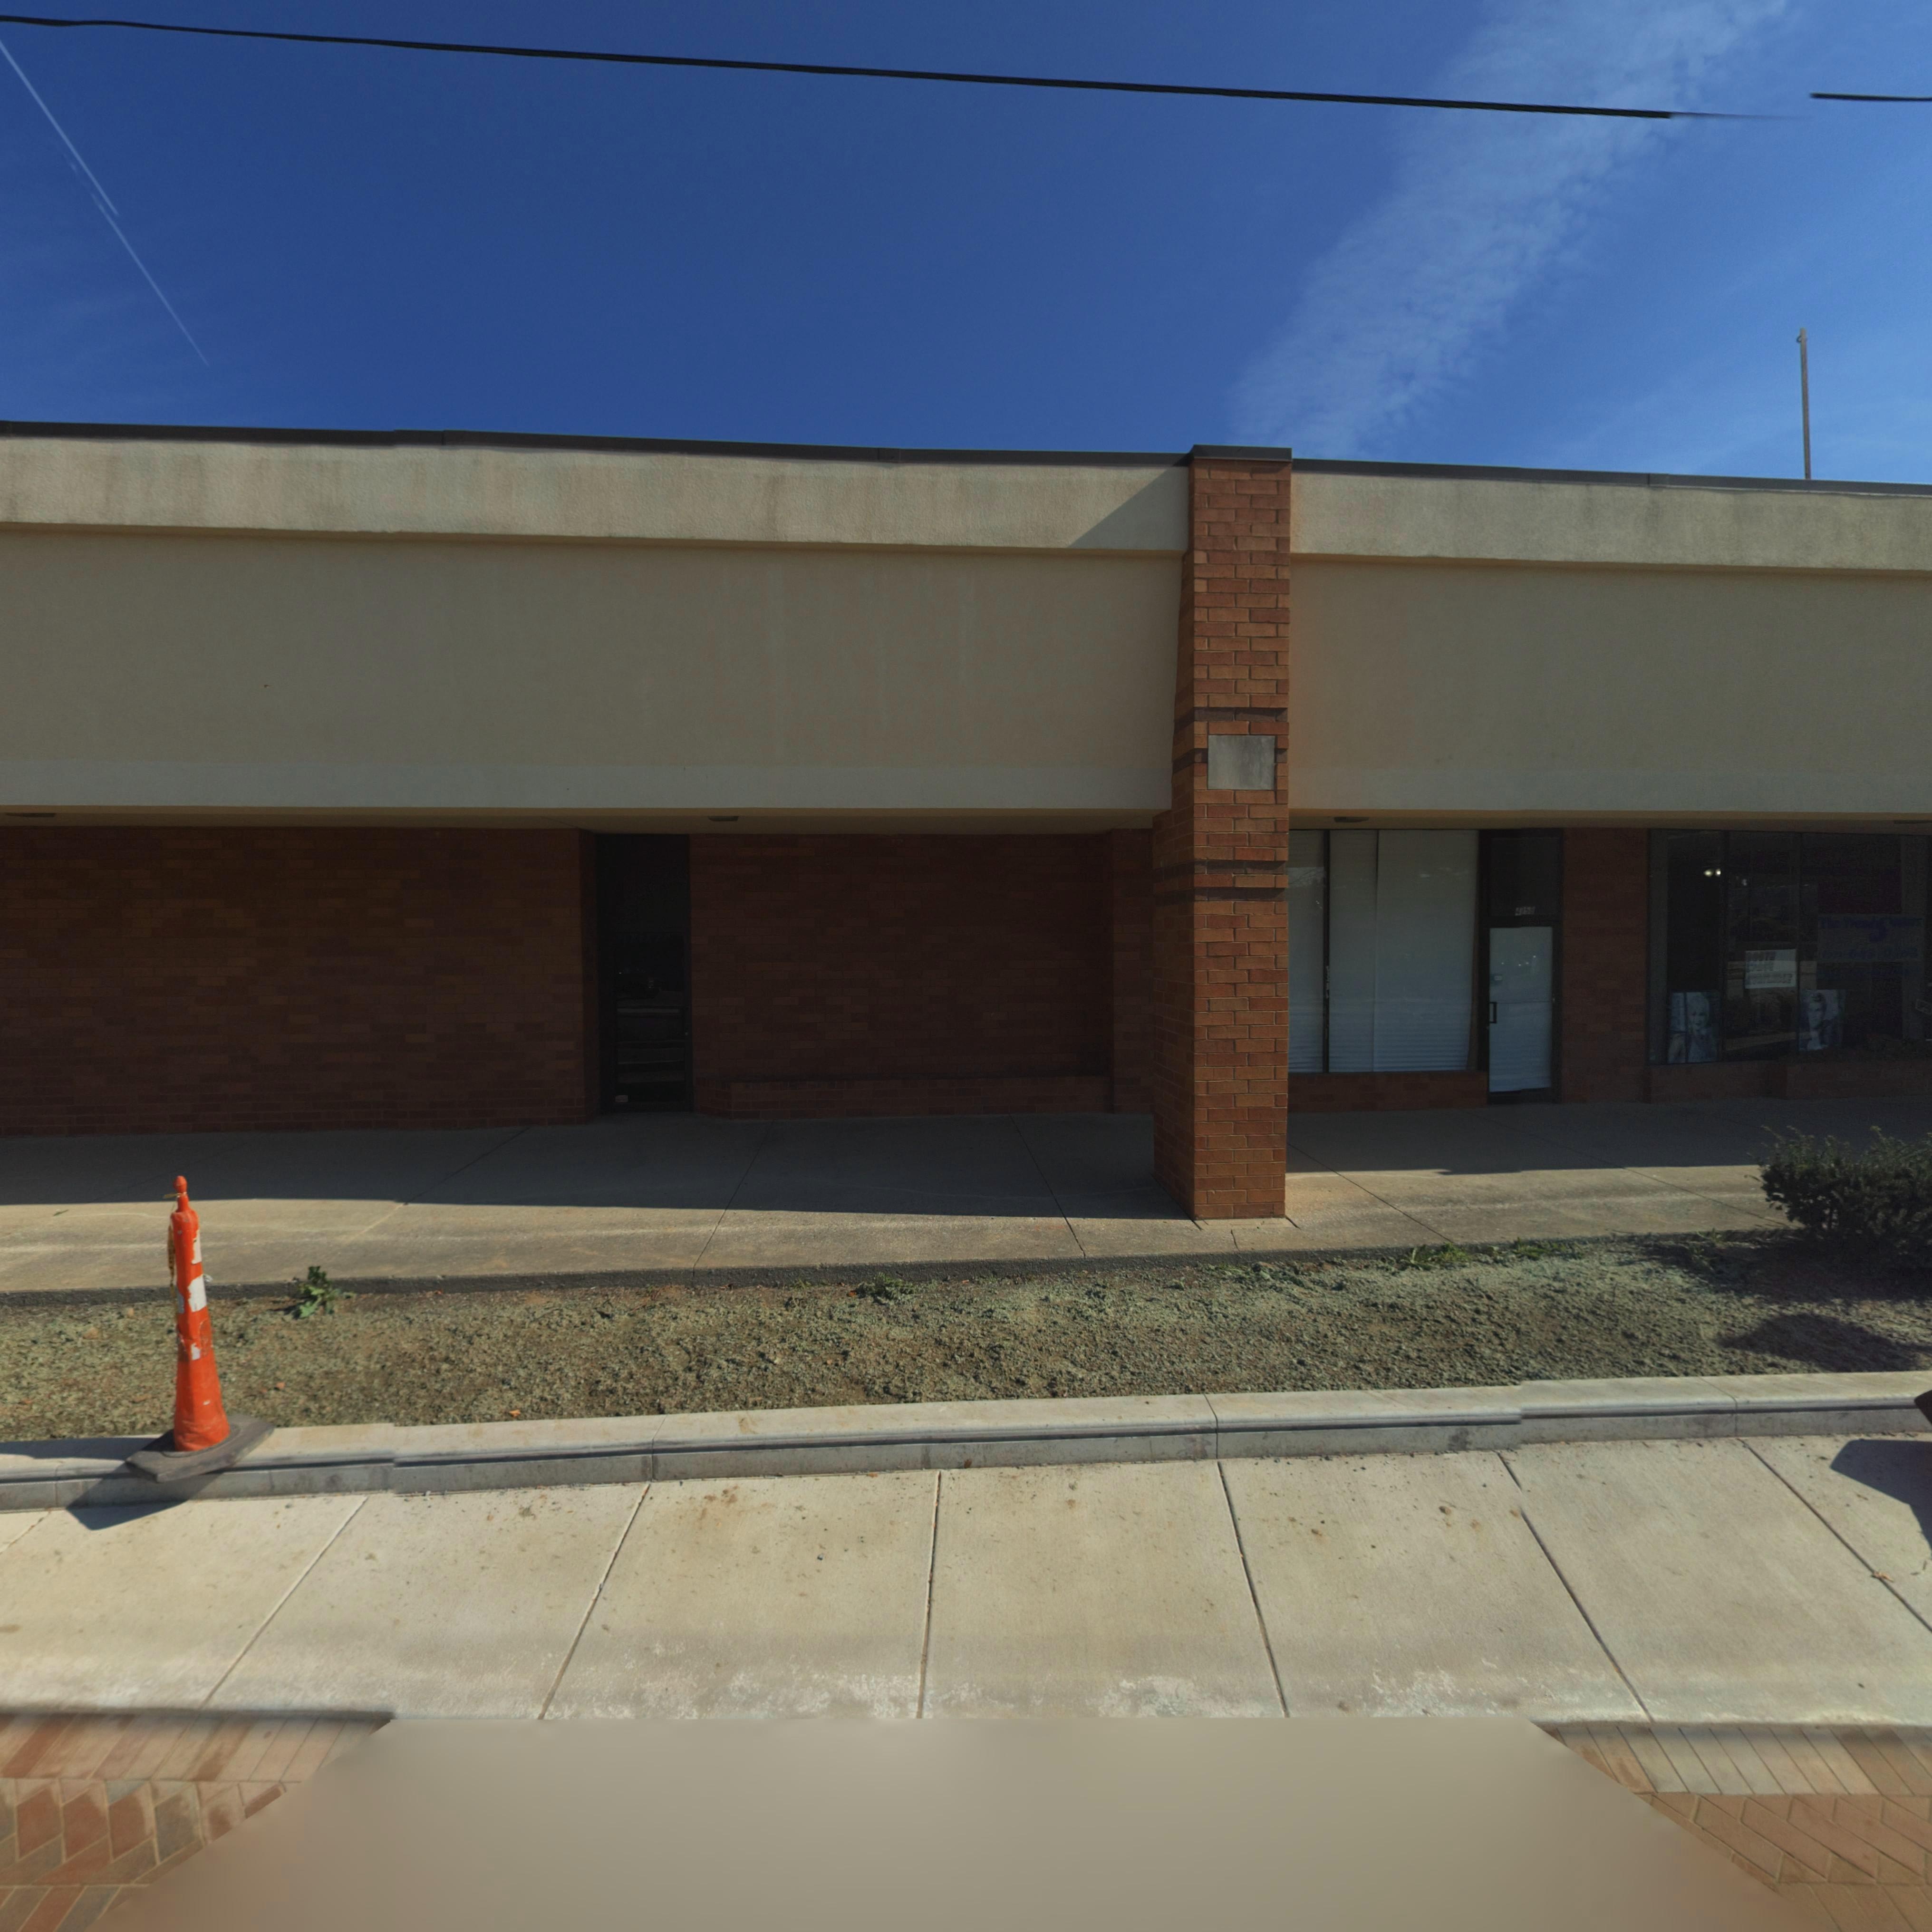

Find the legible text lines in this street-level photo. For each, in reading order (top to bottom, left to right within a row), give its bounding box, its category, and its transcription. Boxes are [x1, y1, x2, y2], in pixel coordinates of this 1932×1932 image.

[1515, 906, 1536, 916] StreetNumber: 4*58
[1868, 916, 1894, 943] BusinessName: S
[1745, 951, 1777, 962] None: *OOTH